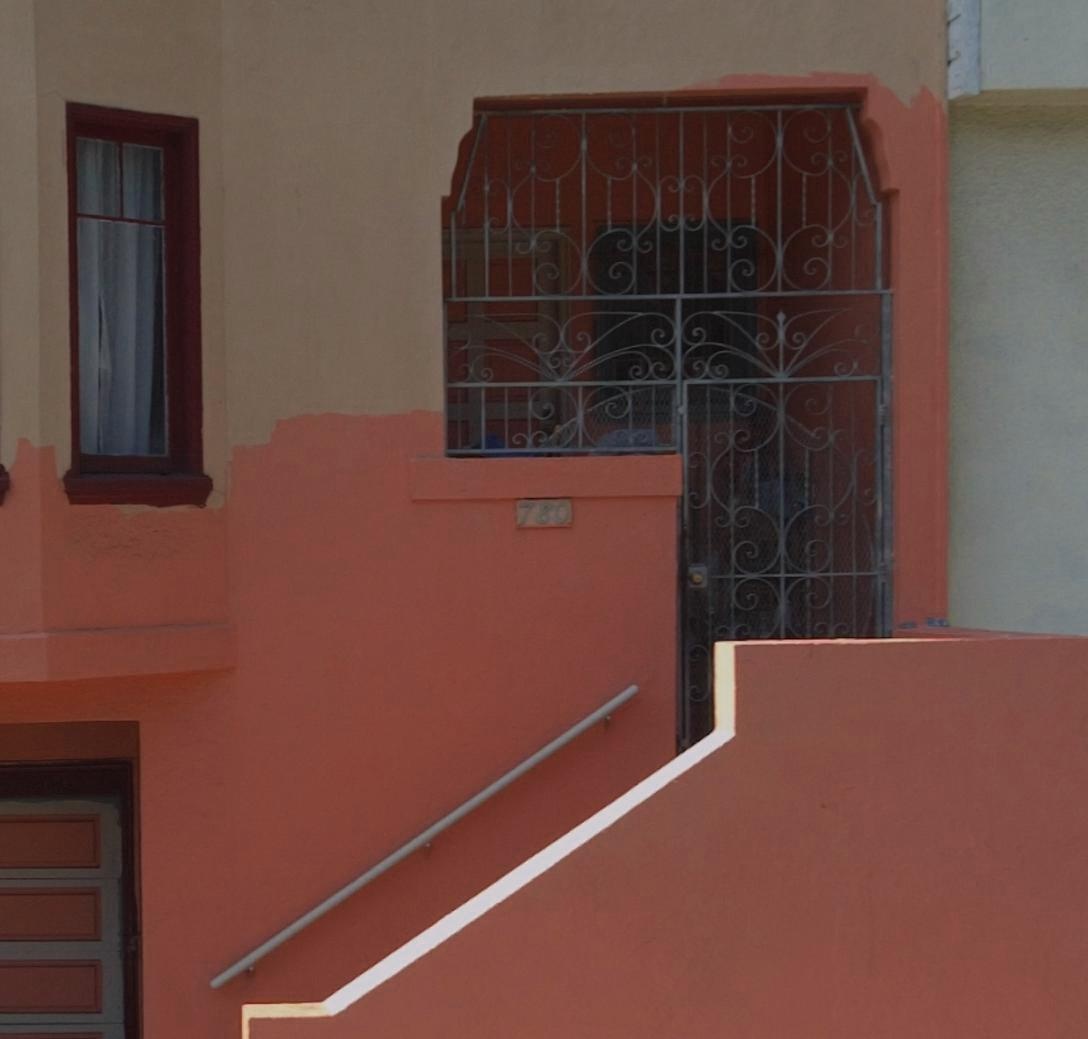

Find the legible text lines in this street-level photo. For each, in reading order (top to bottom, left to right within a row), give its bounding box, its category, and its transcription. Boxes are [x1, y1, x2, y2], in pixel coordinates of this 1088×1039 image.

[516, 500, 571, 527] StreetNumber: 780